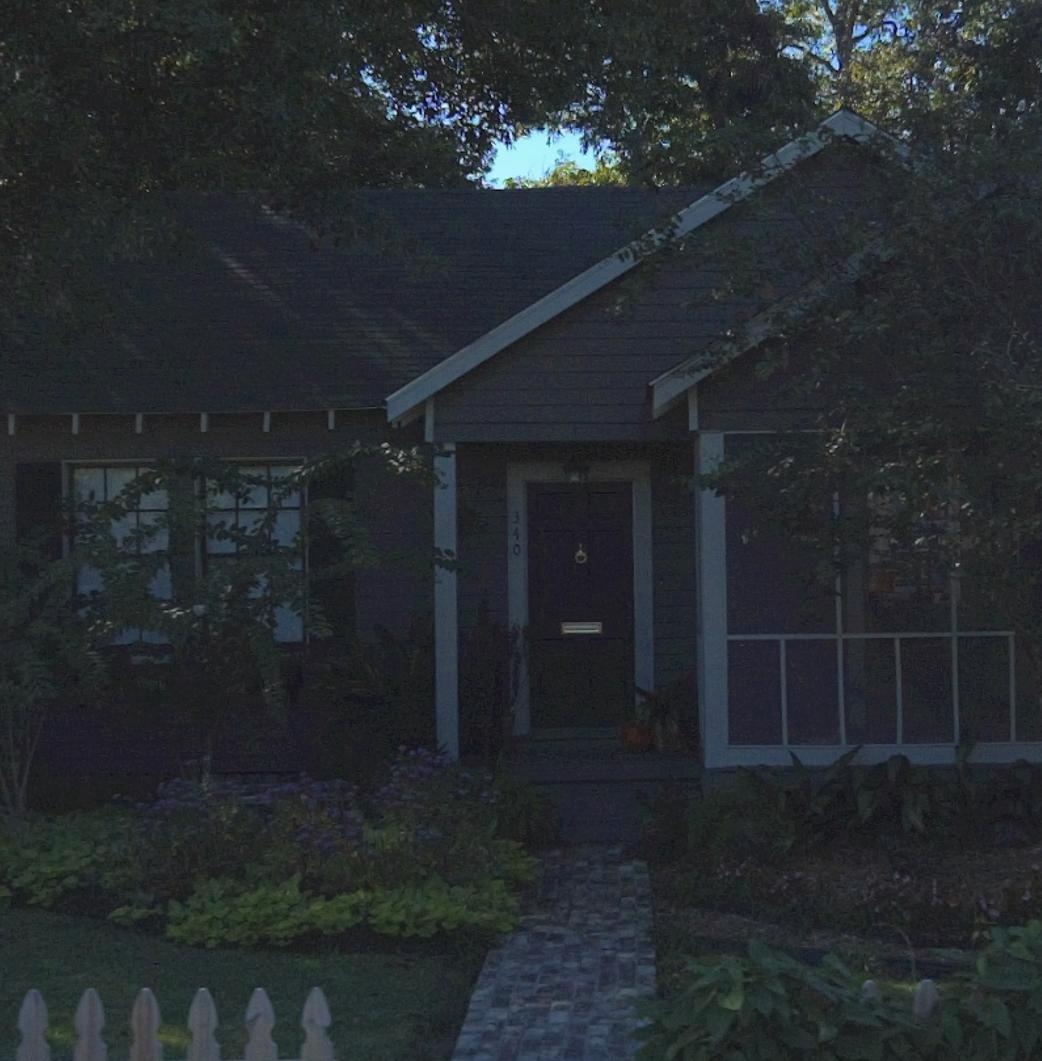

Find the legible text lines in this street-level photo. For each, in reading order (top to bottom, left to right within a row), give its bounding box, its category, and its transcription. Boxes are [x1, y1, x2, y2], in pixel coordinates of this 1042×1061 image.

[510, 509, 524, 558] StreetNumber: 340